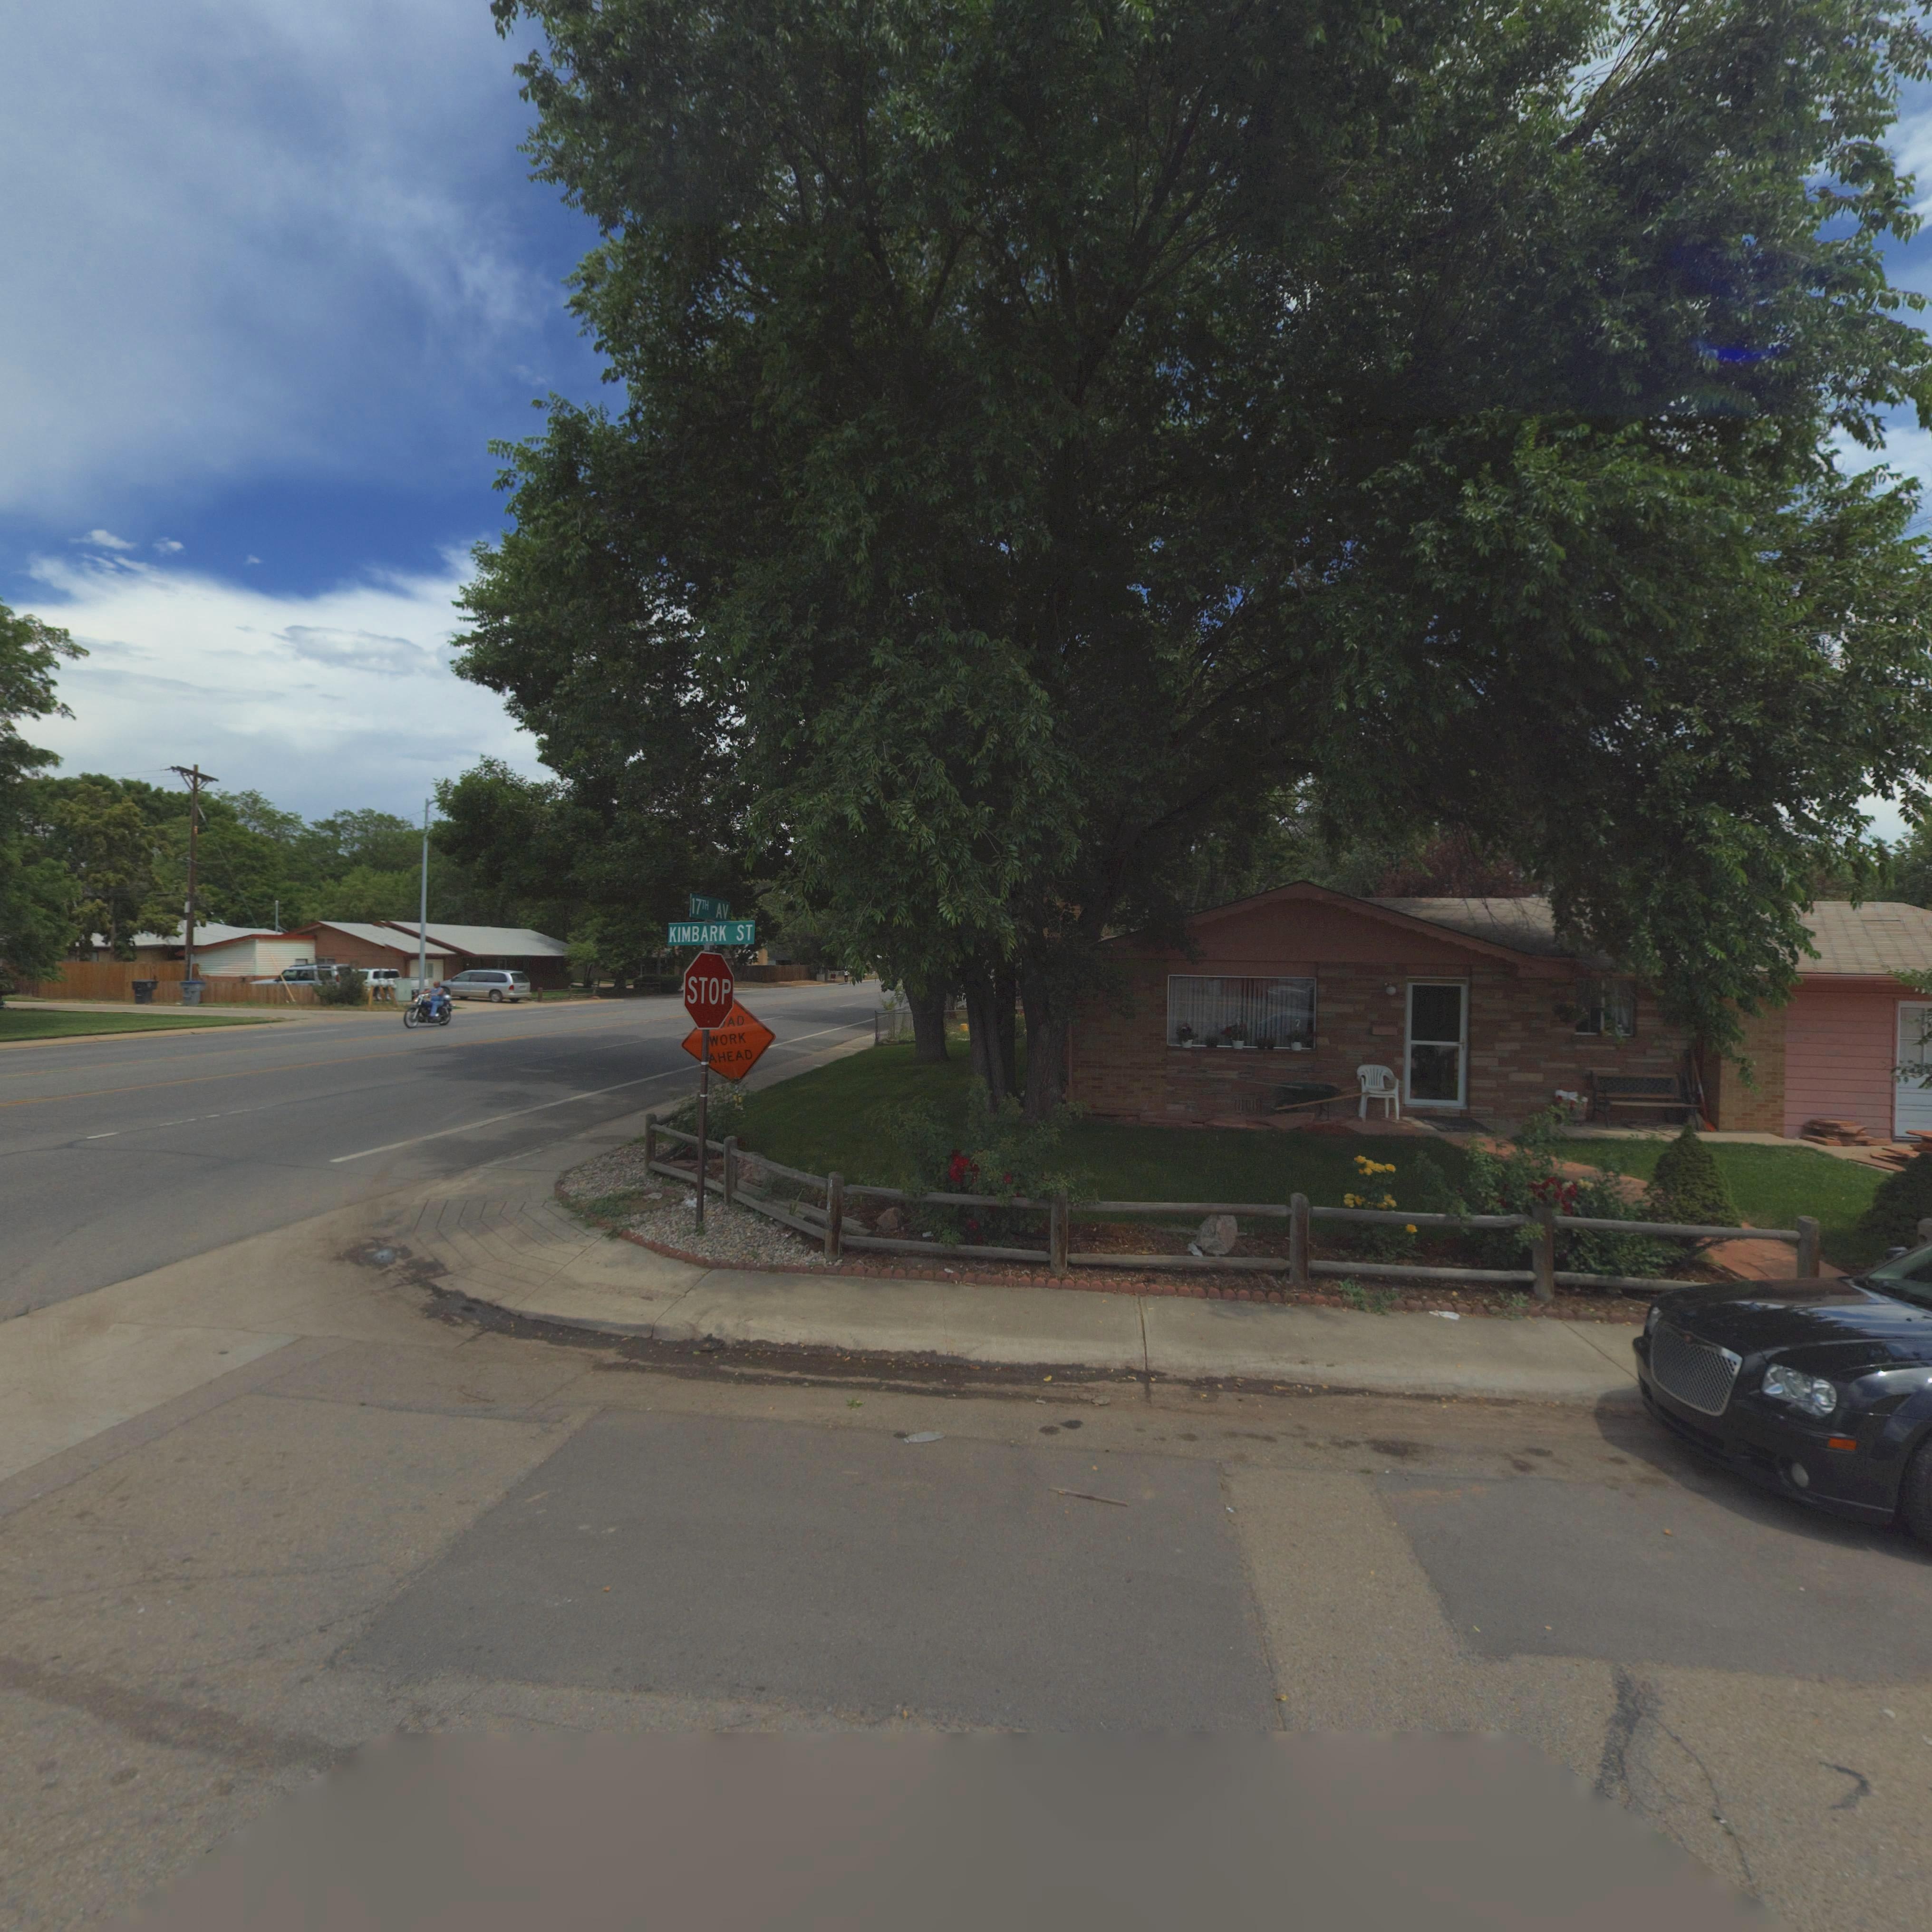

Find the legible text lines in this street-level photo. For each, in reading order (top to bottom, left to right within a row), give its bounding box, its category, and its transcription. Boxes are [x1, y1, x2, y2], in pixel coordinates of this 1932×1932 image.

[691, 897, 729, 919] StreetName: 17TH AV
[668, 924, 753, 943] StreetName: KIMBARK ST
[826, 1179, 833, 1213] StreetNumber: 14